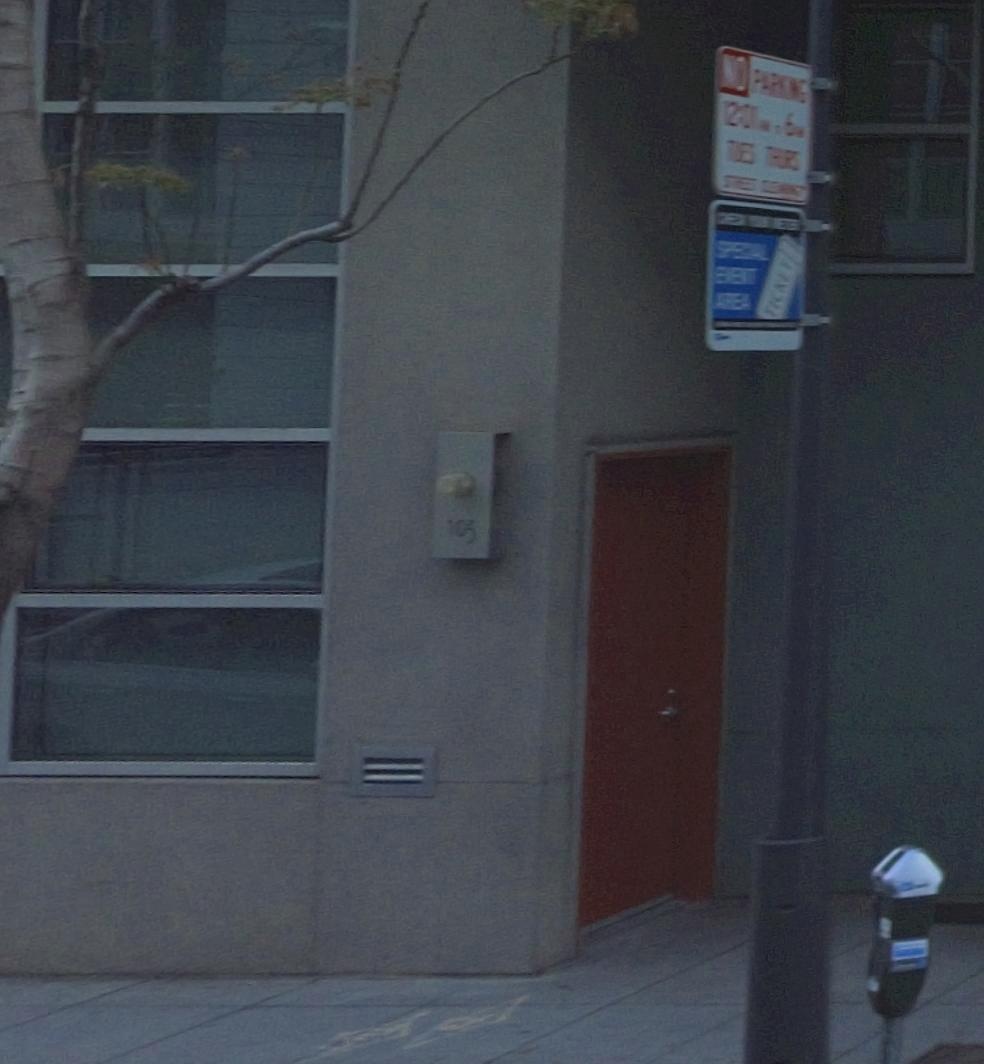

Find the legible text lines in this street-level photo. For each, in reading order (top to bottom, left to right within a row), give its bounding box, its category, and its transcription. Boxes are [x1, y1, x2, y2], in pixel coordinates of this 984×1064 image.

[725, 95, 754, 133] None: 2:0
[781, 106, 798, 143] None: 6
[446, 514, 479, 546] StreetNumber: *03